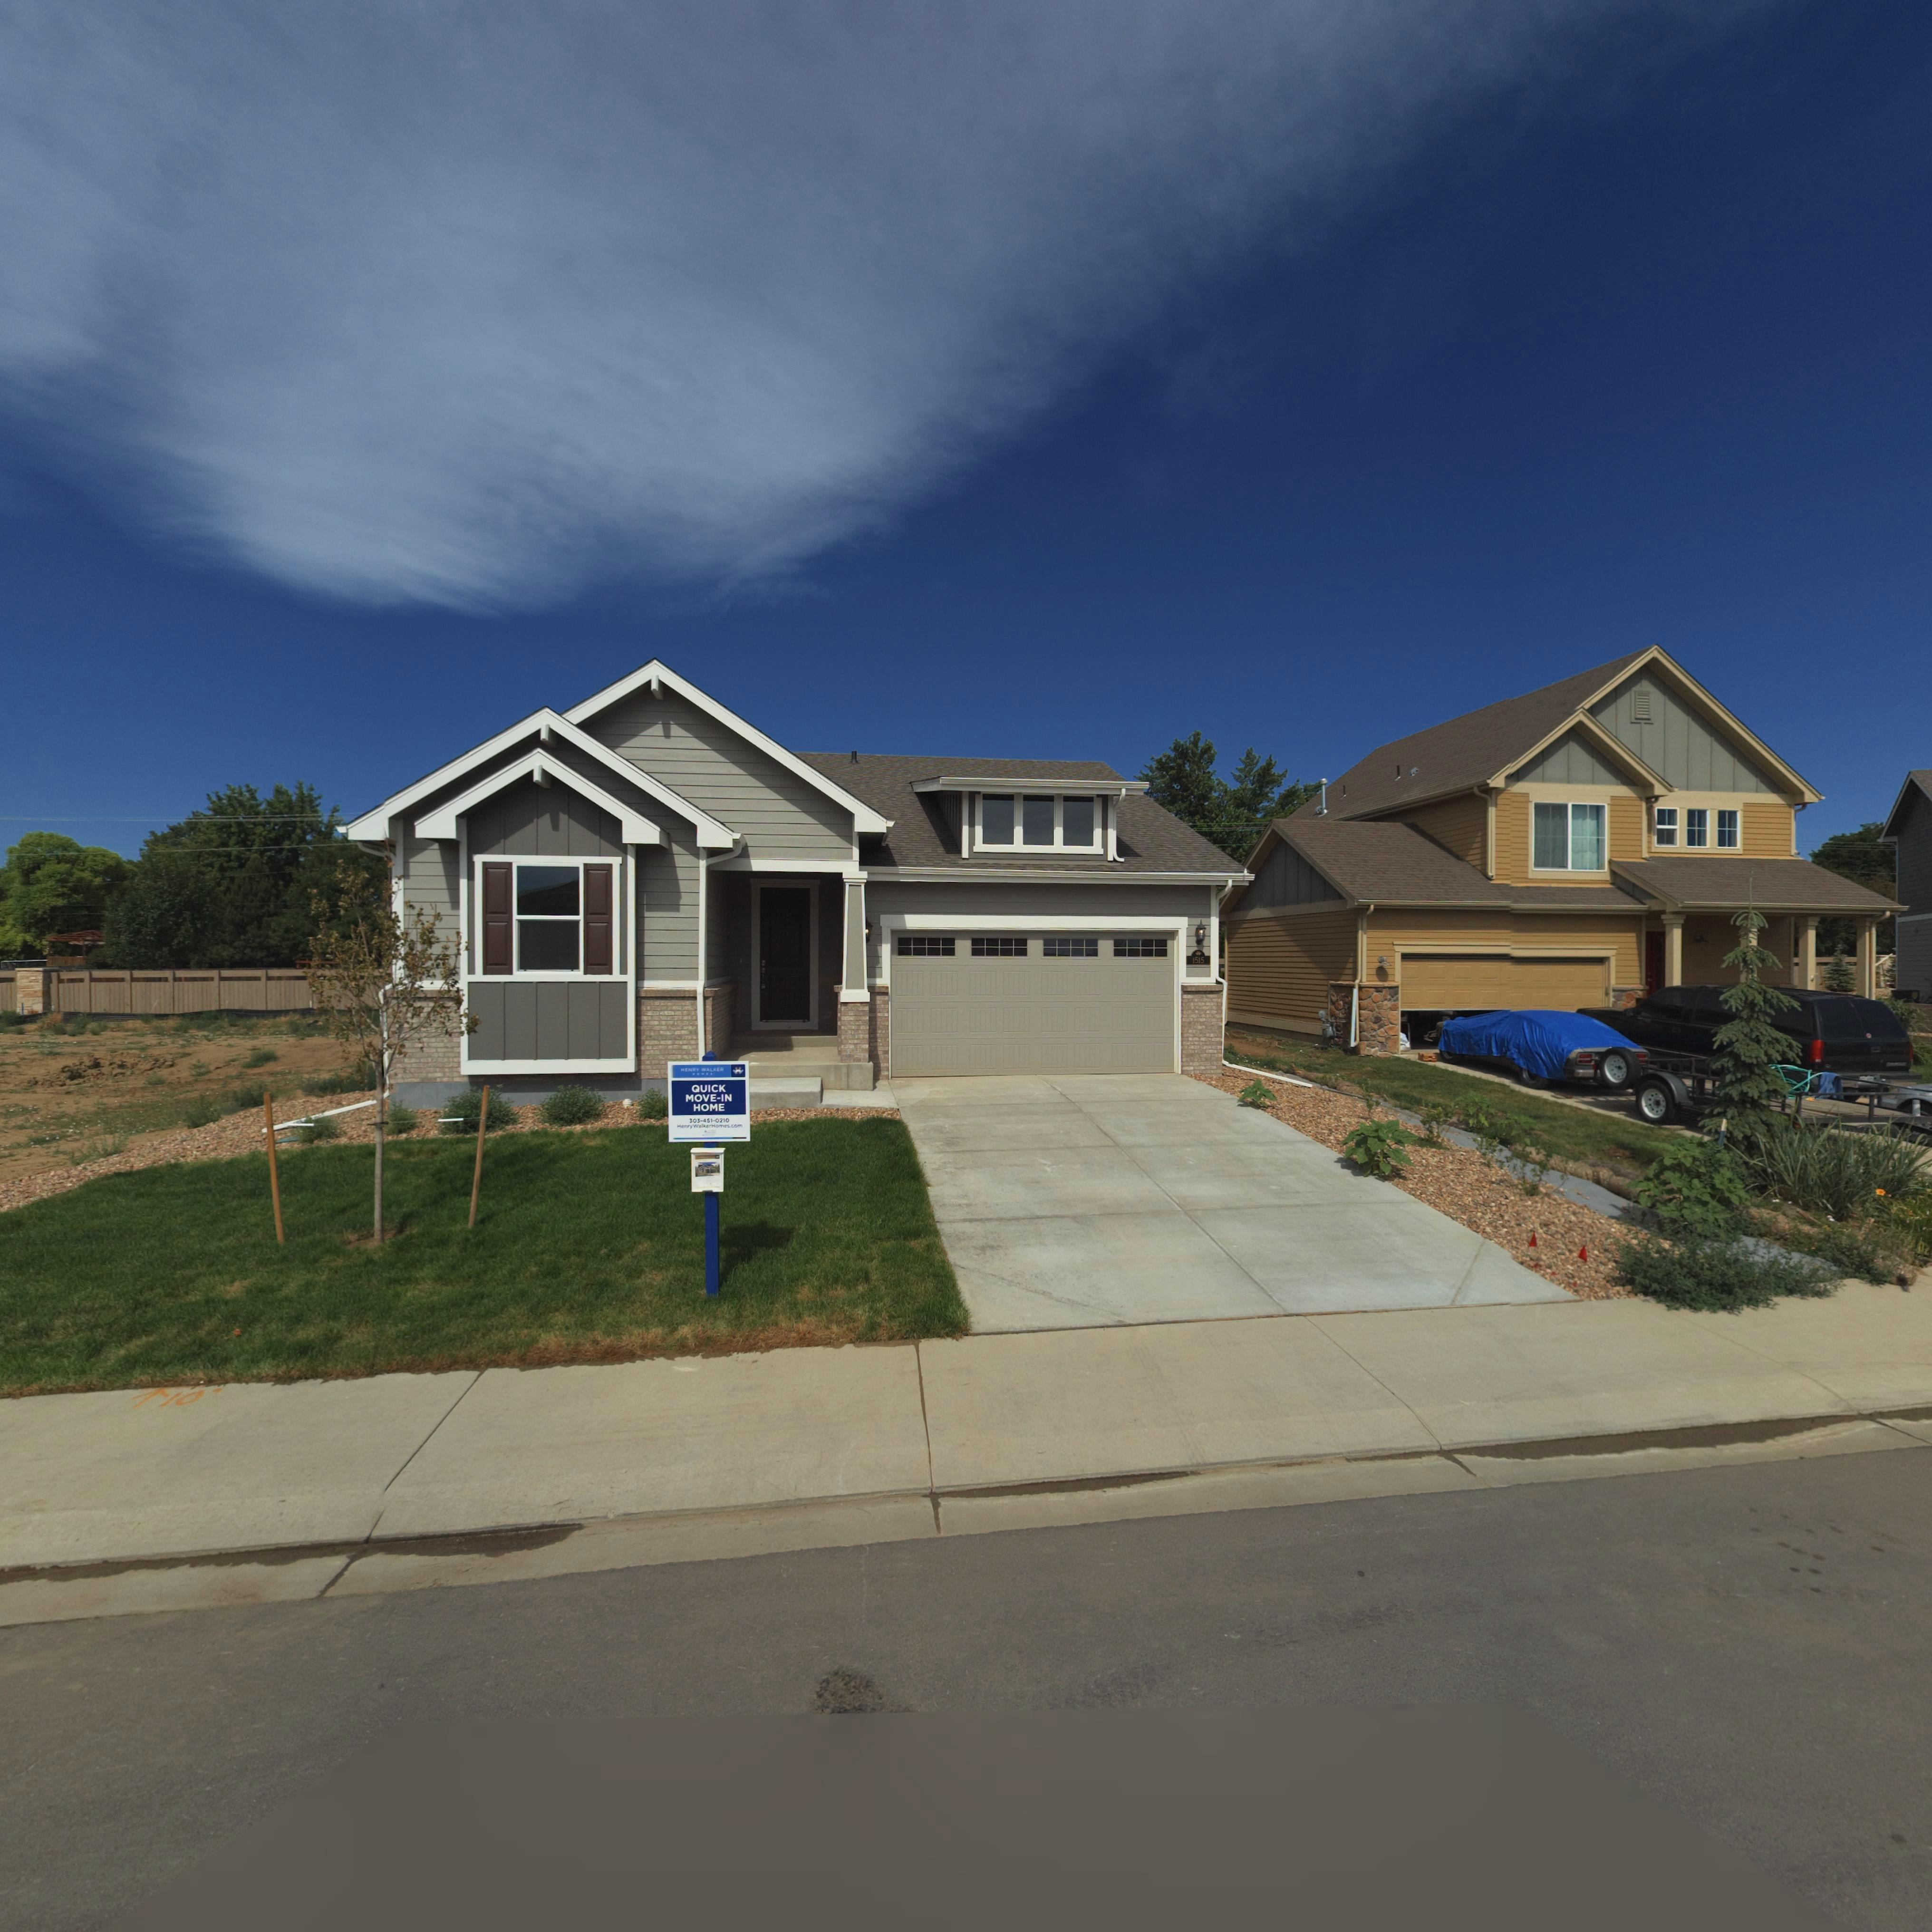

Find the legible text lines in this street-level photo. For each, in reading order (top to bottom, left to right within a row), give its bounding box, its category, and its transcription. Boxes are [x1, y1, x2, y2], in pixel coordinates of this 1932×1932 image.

[1192, 956, 1205, 964] StreetNumber: 1515